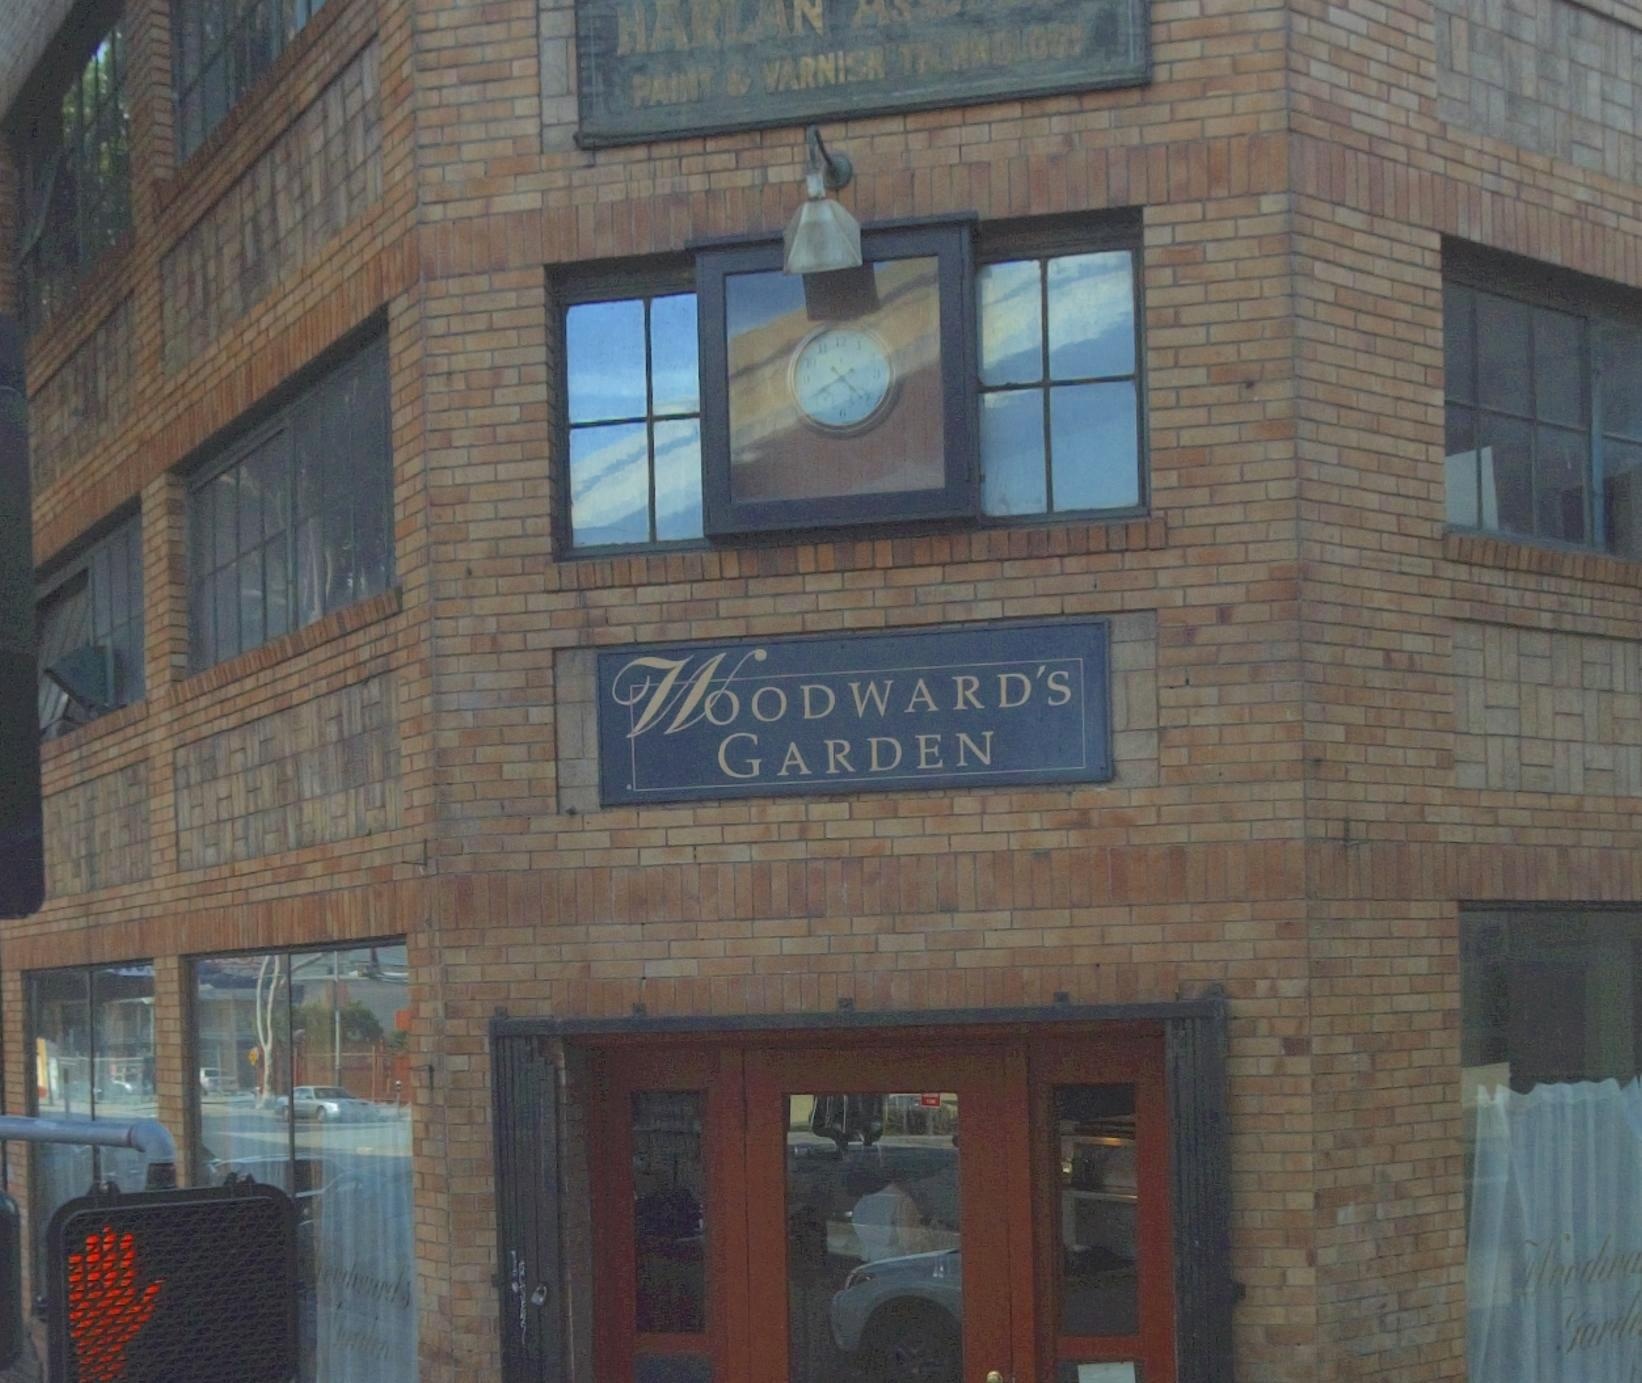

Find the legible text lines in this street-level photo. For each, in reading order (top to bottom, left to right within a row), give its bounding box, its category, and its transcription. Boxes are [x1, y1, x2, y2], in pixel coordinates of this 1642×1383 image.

[627, 38, 892, 115] None: PAINT & VARNISH
[607, 644, 1075, 741] BusinessName: WOODWARD'S
[713, 725, 998, 785] BusinessName: GARDEN